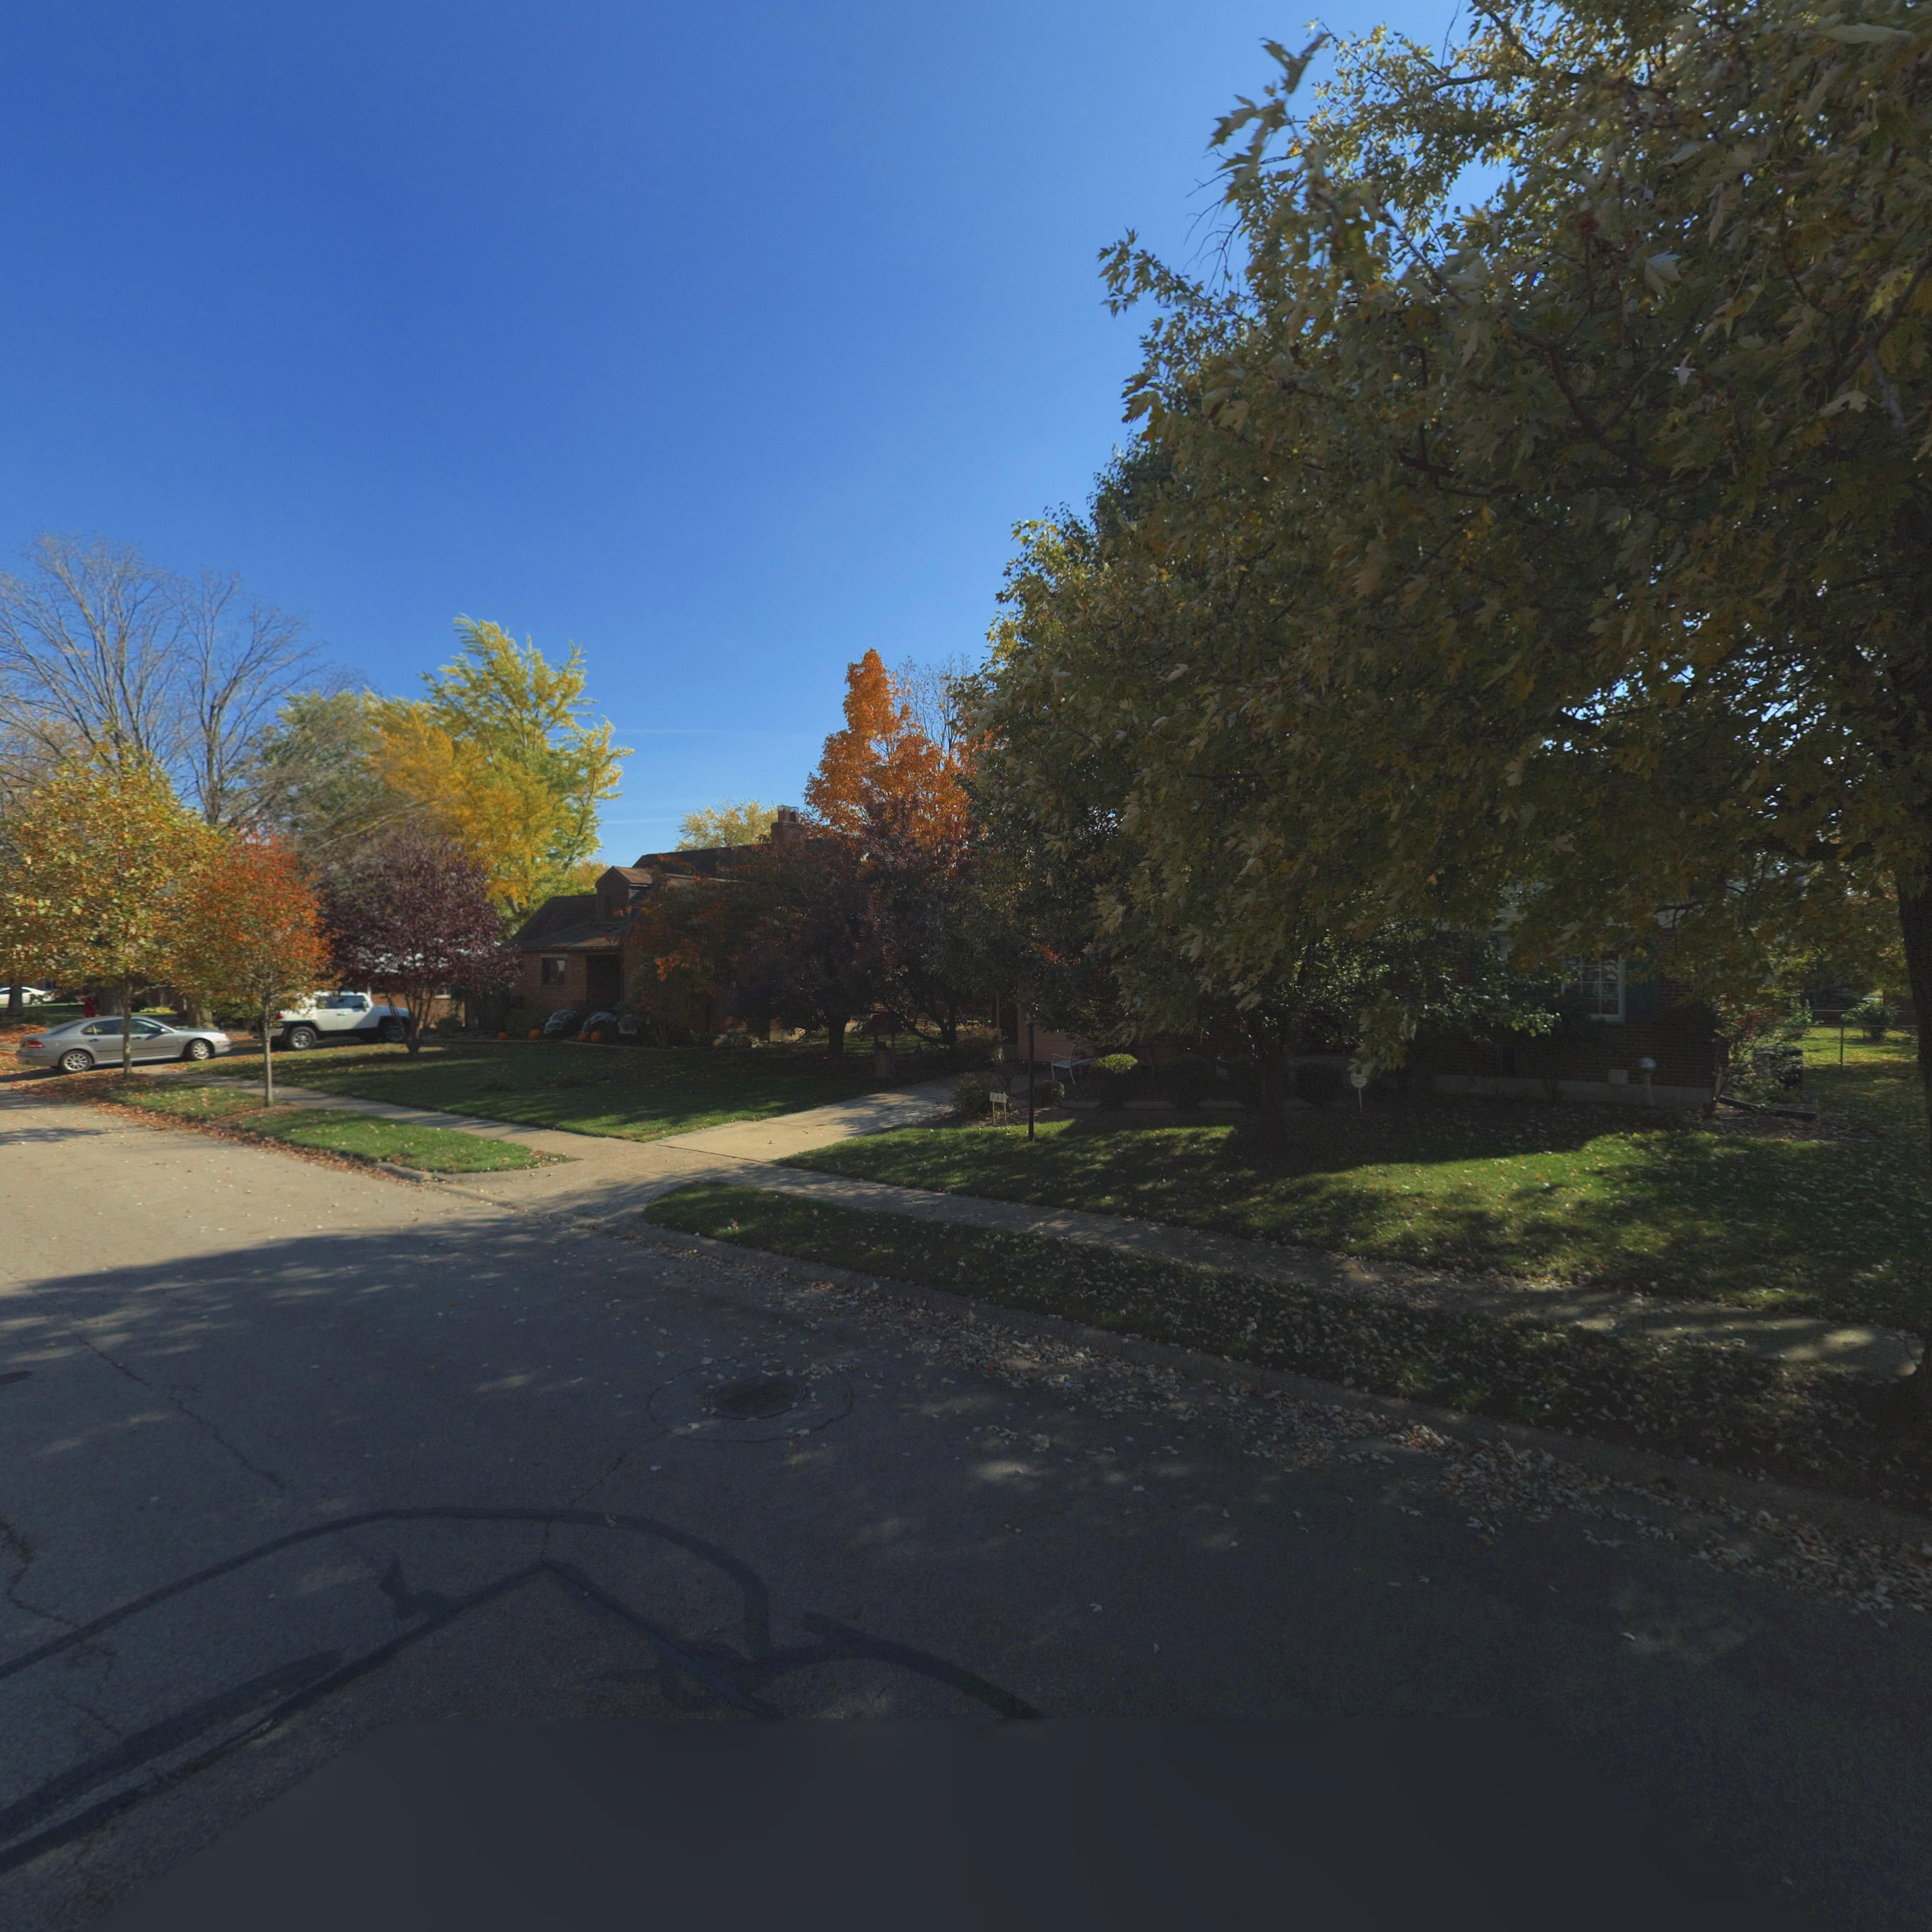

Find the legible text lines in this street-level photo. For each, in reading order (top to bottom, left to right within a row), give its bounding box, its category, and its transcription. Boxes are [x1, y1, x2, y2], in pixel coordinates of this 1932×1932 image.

[990, 1093, 1004, 1103] StreetNumber: 944